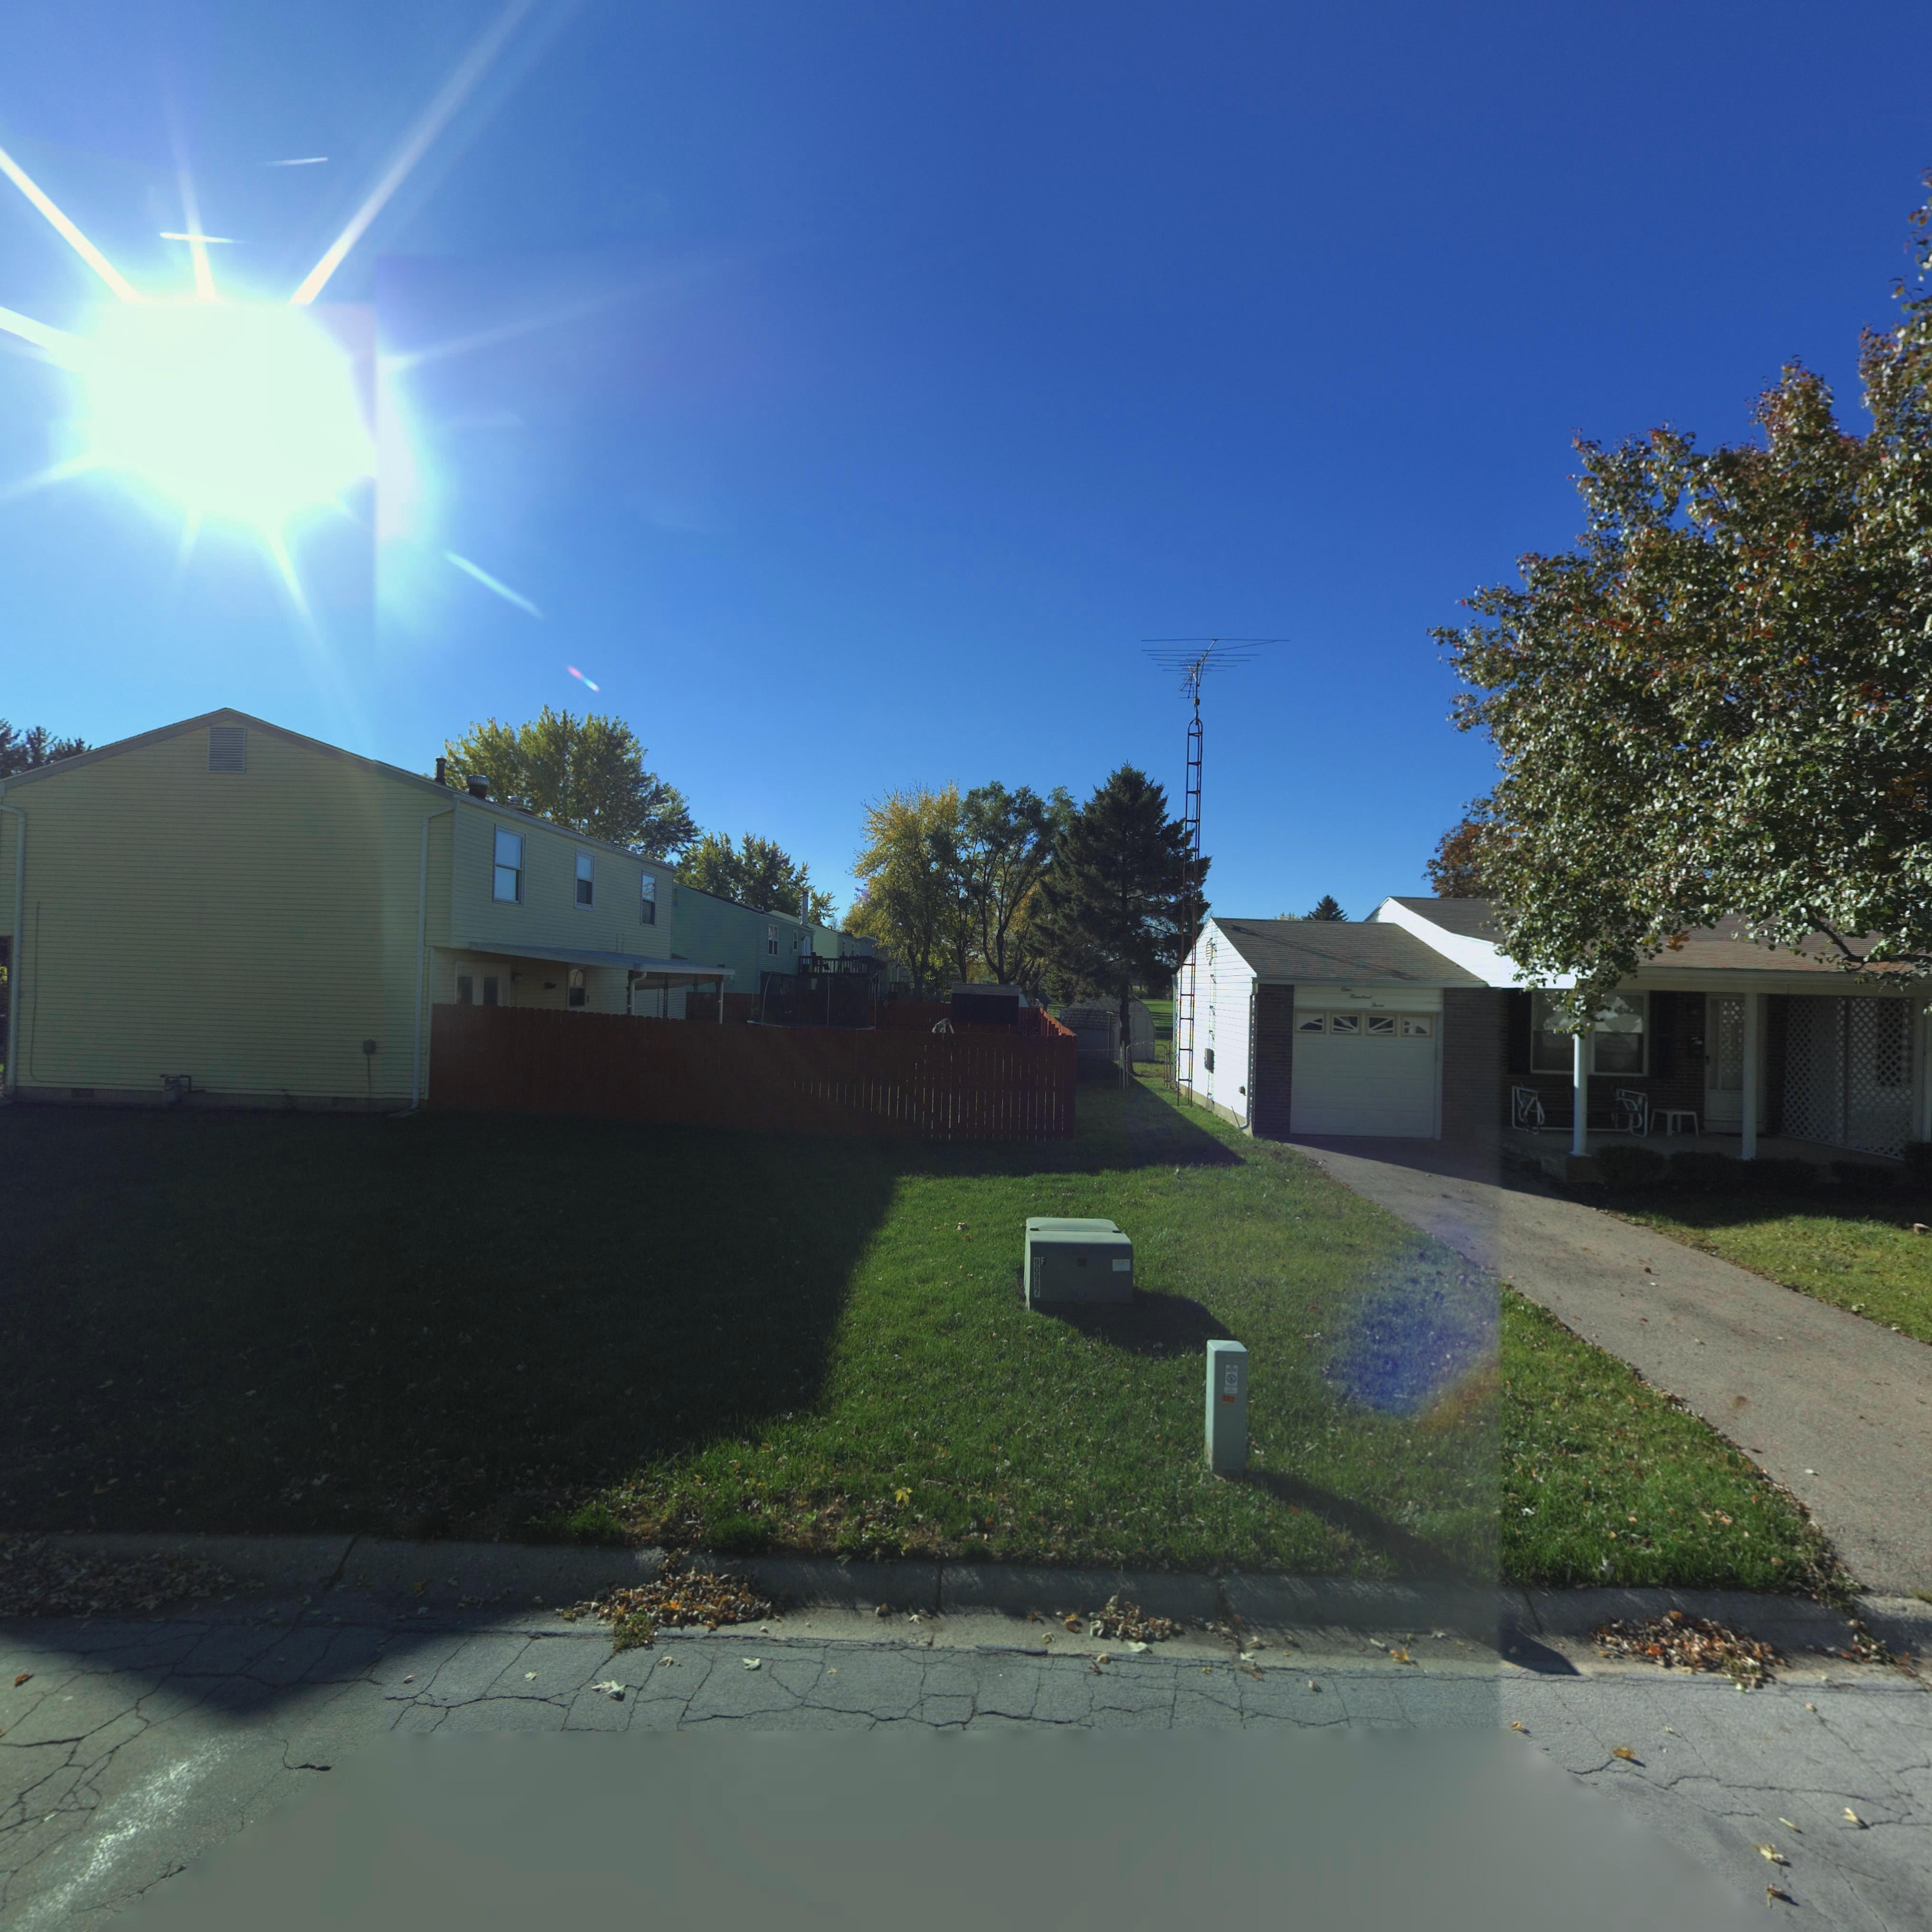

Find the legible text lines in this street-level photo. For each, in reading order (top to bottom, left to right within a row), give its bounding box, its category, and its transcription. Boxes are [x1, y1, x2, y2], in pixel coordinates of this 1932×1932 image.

[1340, 985, 1352, 993] StreetNumber: One
[1348, 993, 1374, 1000] StreetNumber: H**d**d